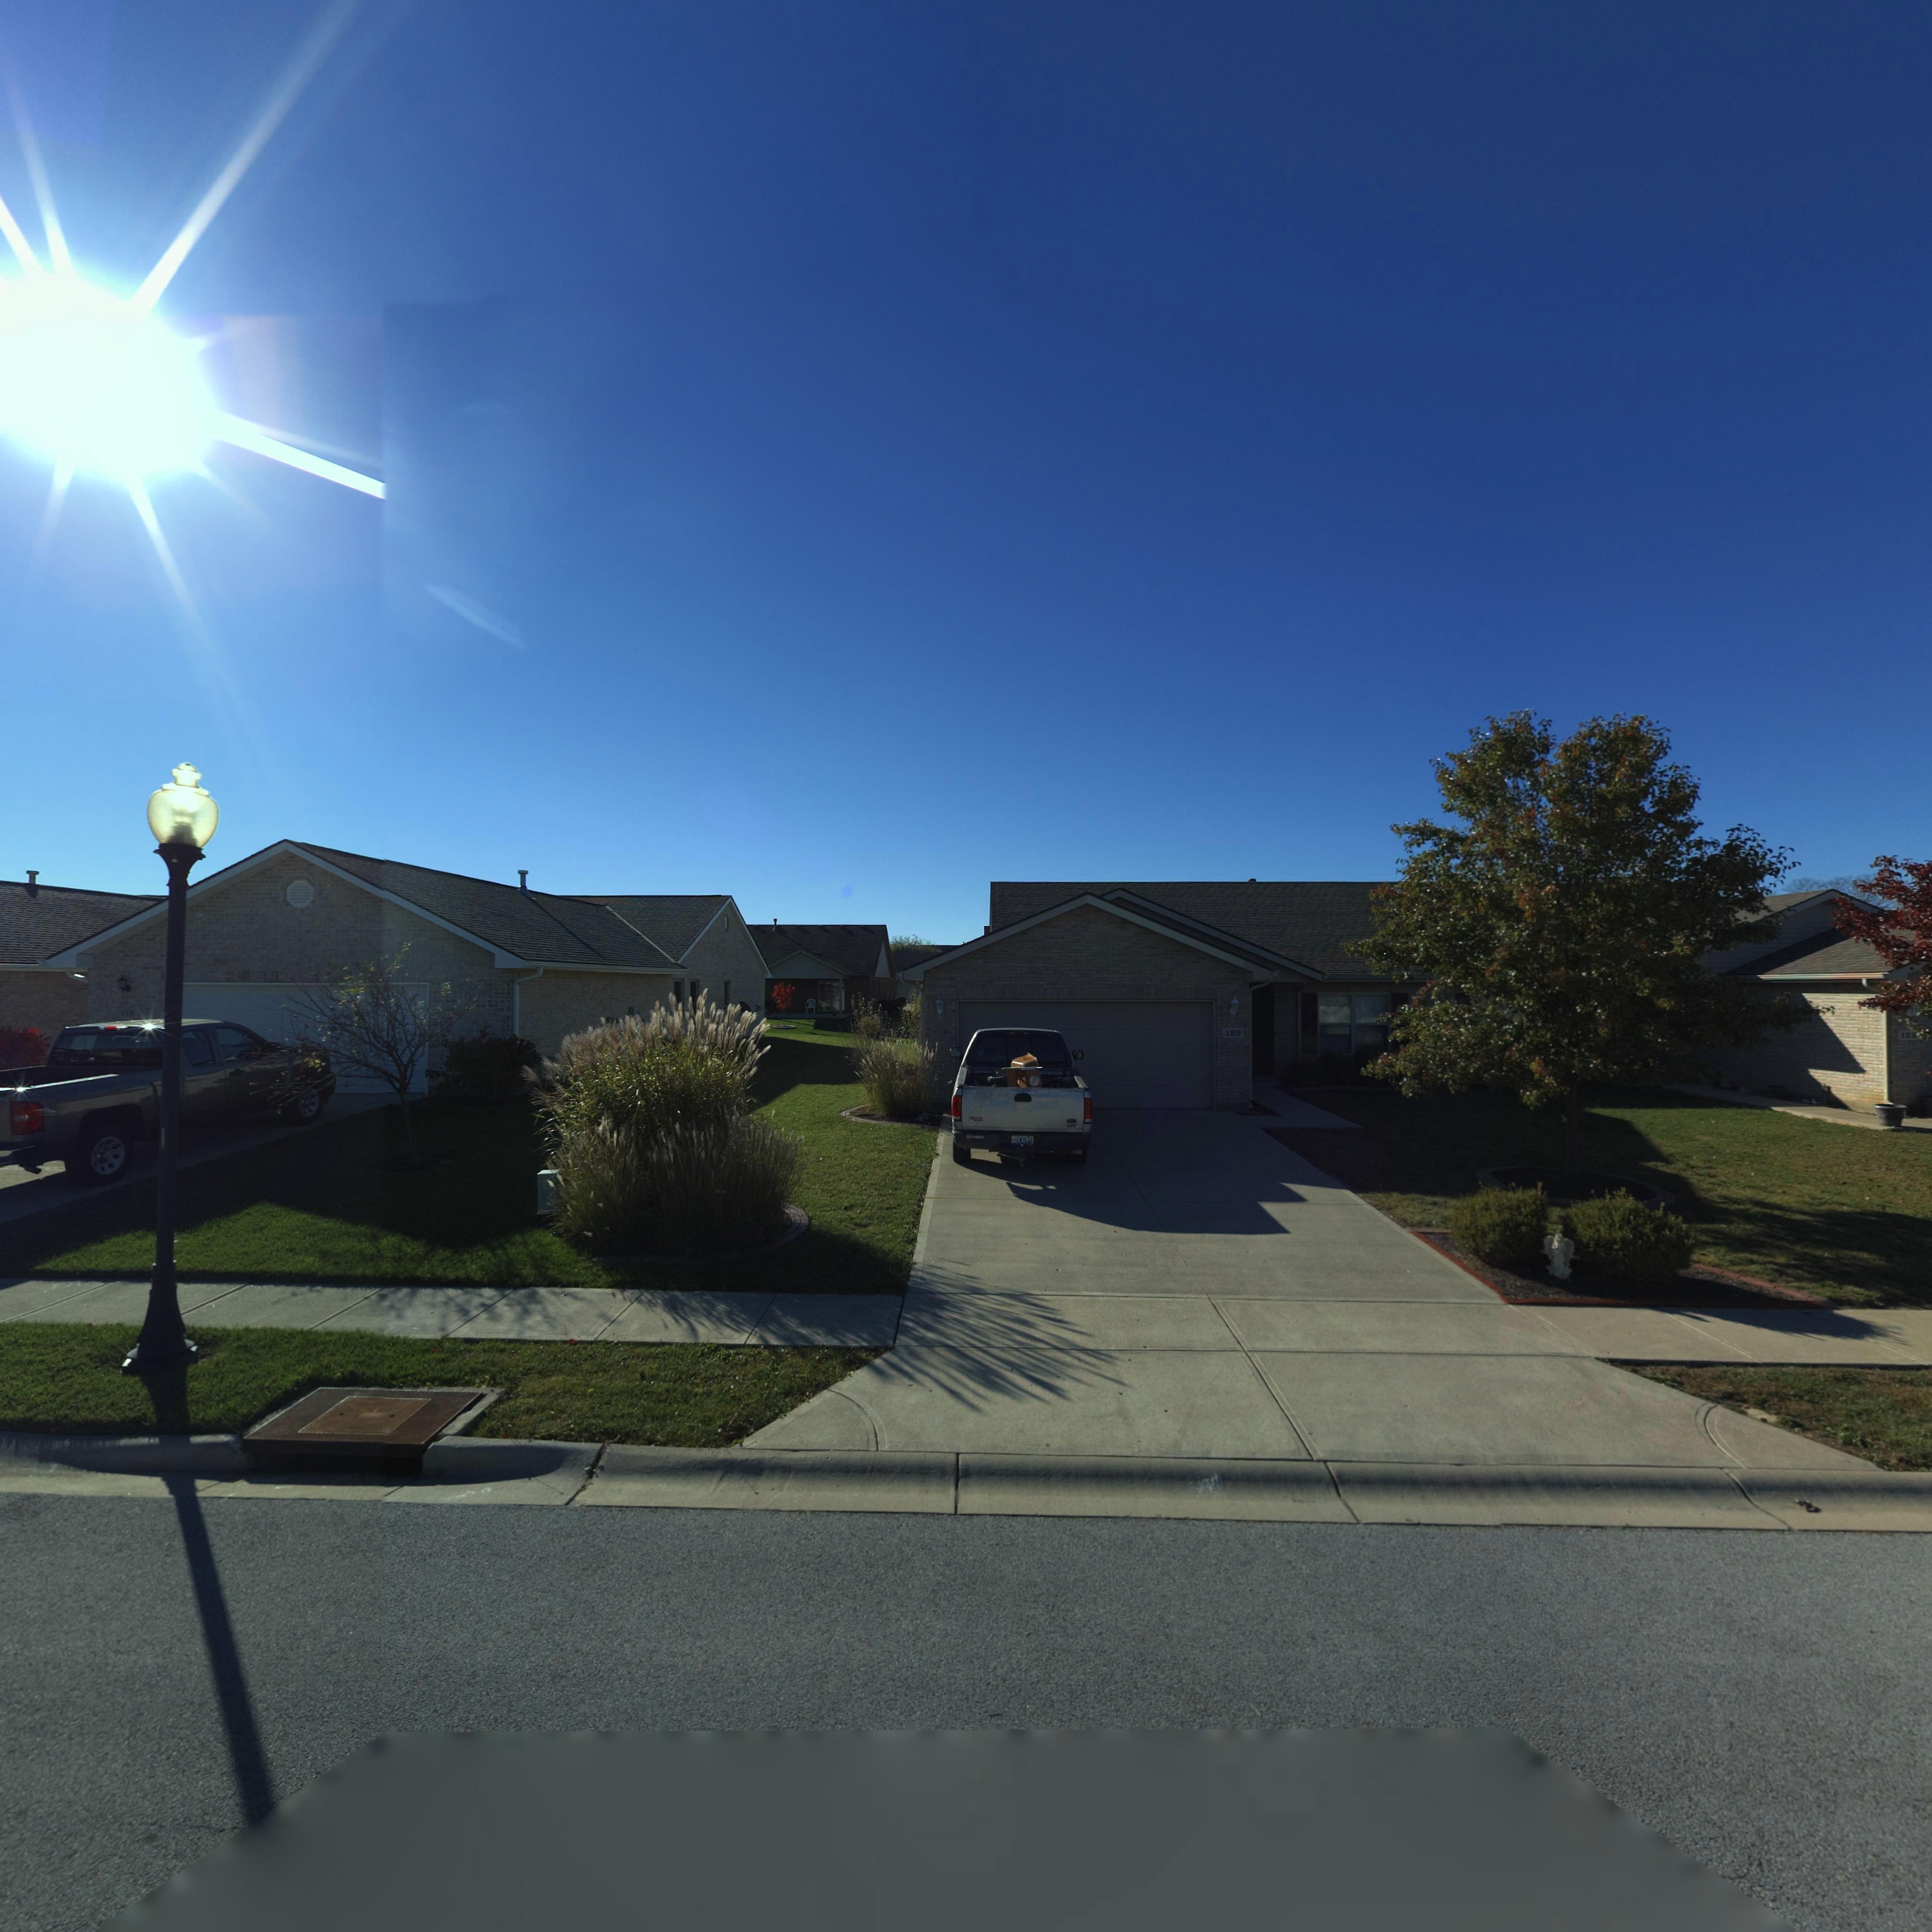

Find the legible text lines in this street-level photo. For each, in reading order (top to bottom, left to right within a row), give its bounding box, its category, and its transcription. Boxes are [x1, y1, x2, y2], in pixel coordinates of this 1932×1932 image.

[1225, 1029, 1242, 1037] StreetNumber: 120